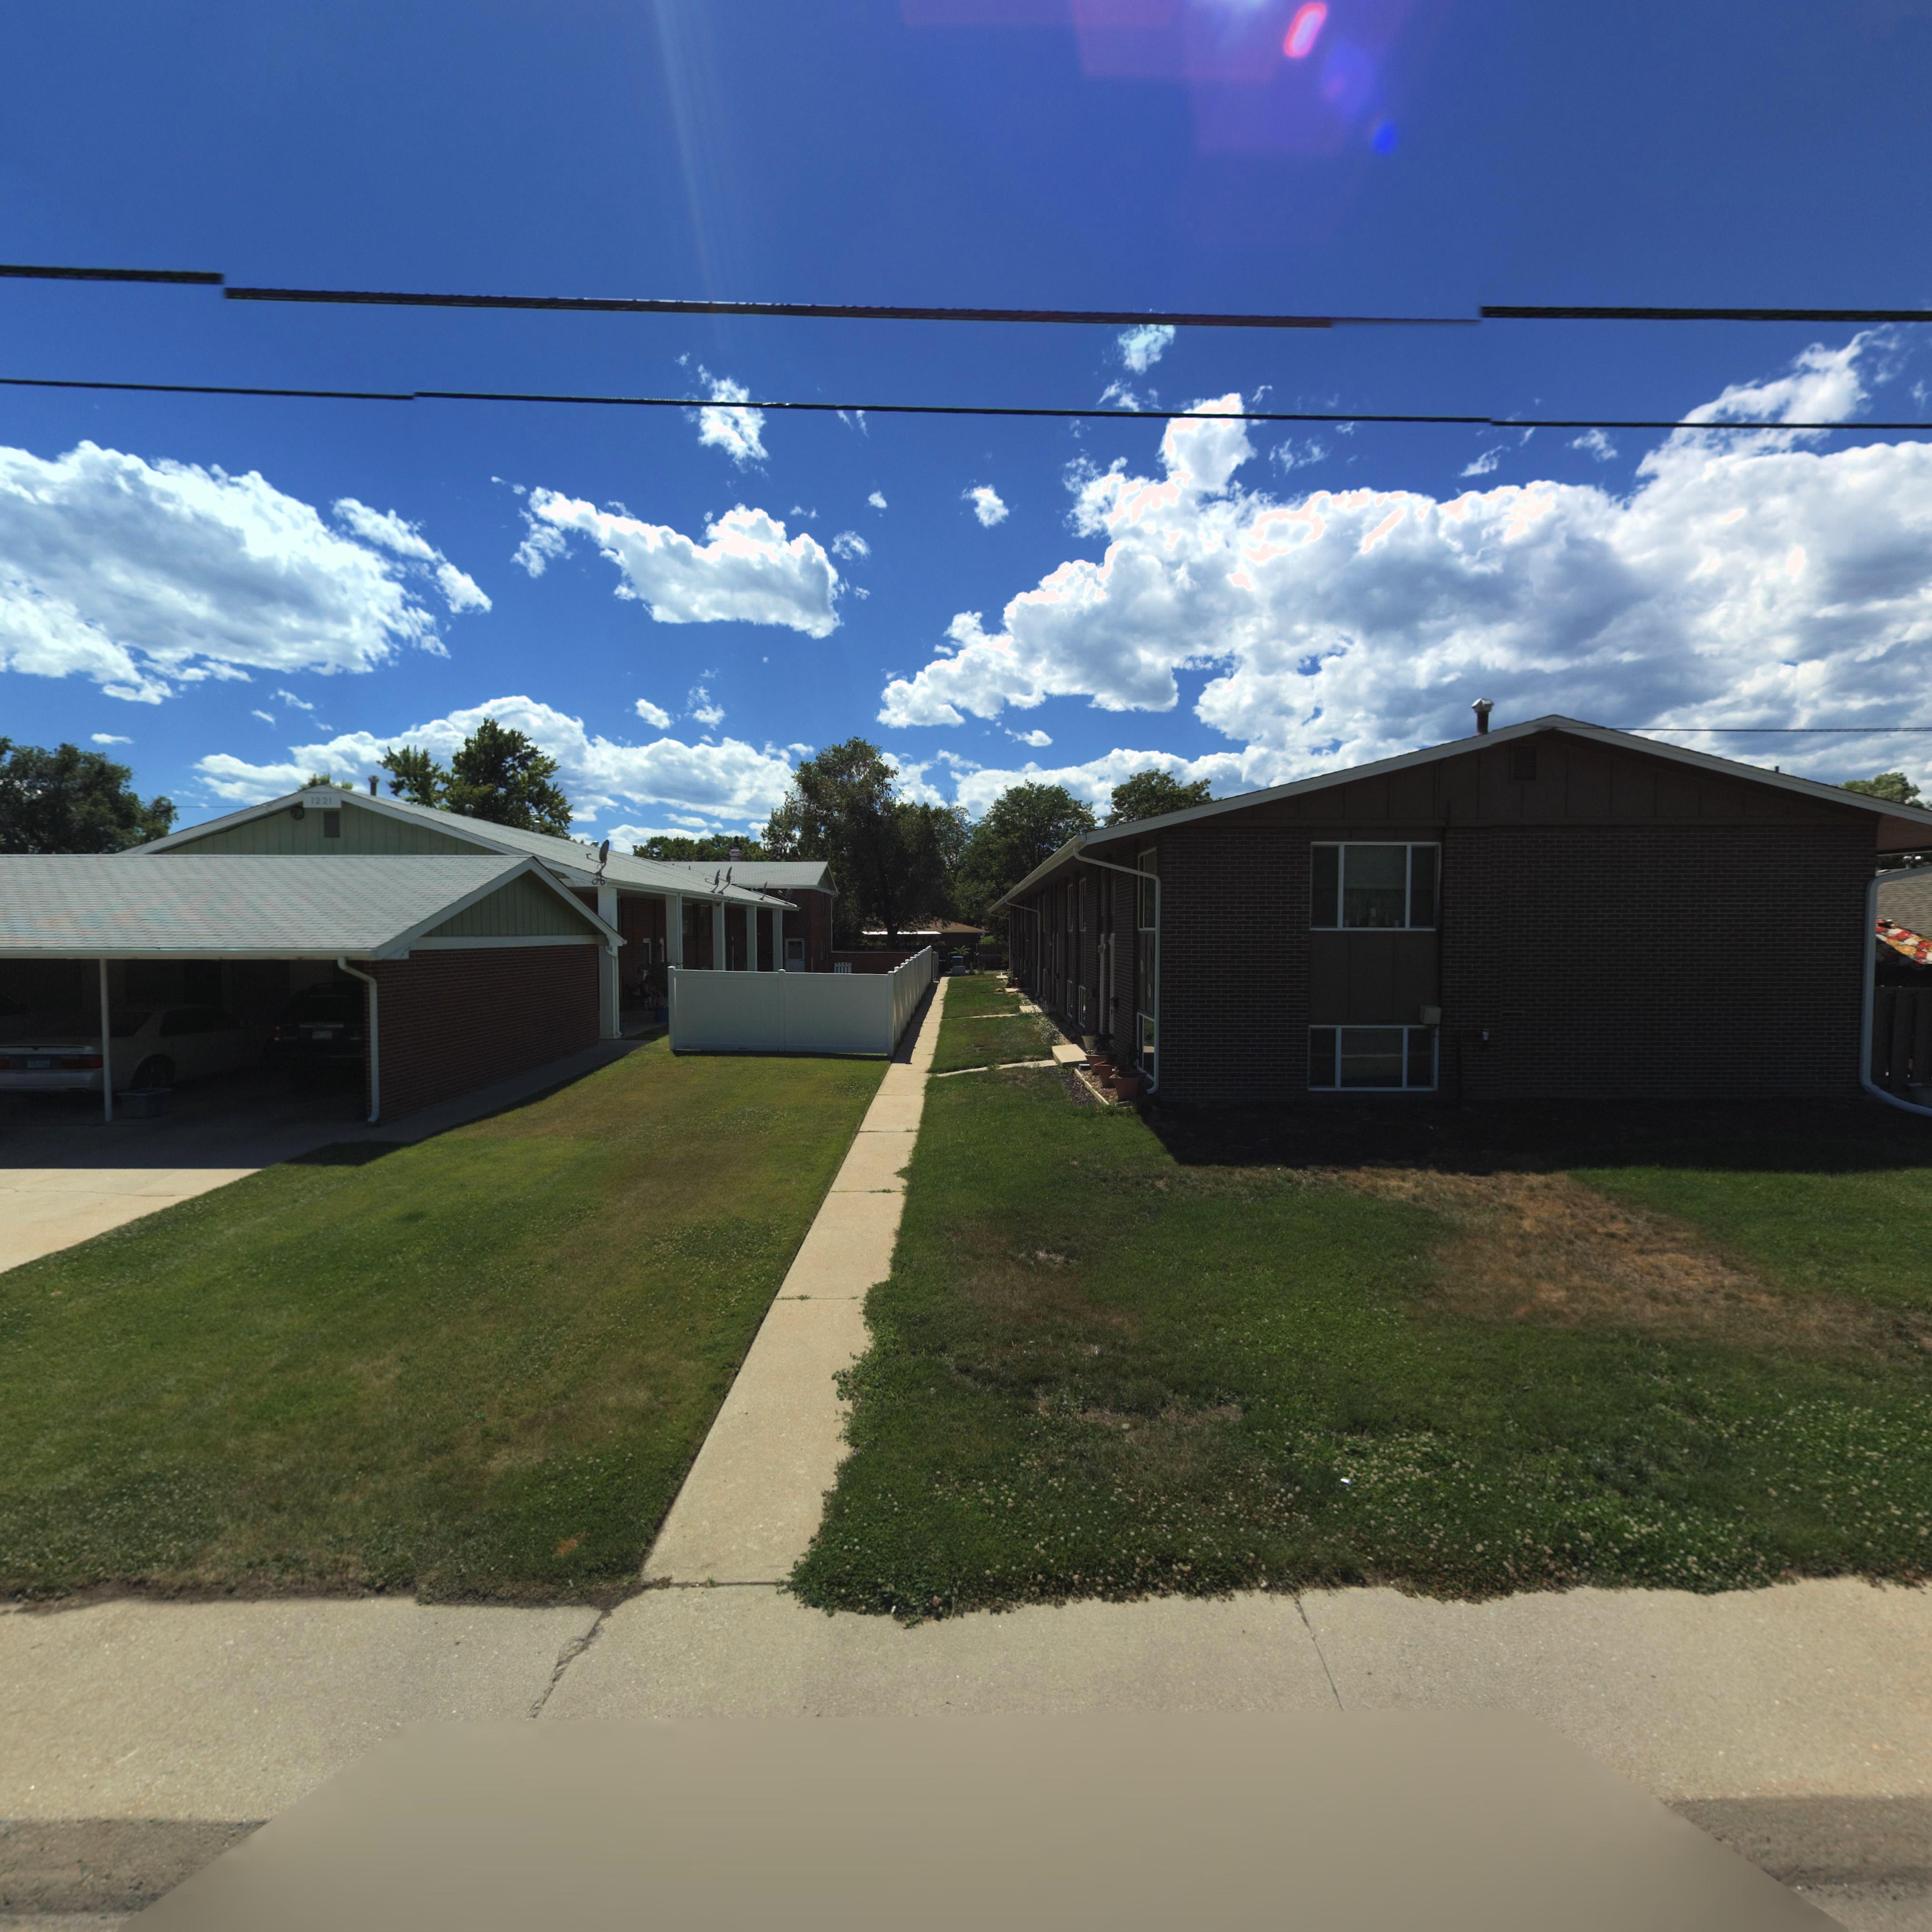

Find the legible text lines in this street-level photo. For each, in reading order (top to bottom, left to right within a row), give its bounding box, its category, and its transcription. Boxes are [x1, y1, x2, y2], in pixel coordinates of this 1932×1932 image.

[310, 795, 332, 805] StreetNumber: 1221